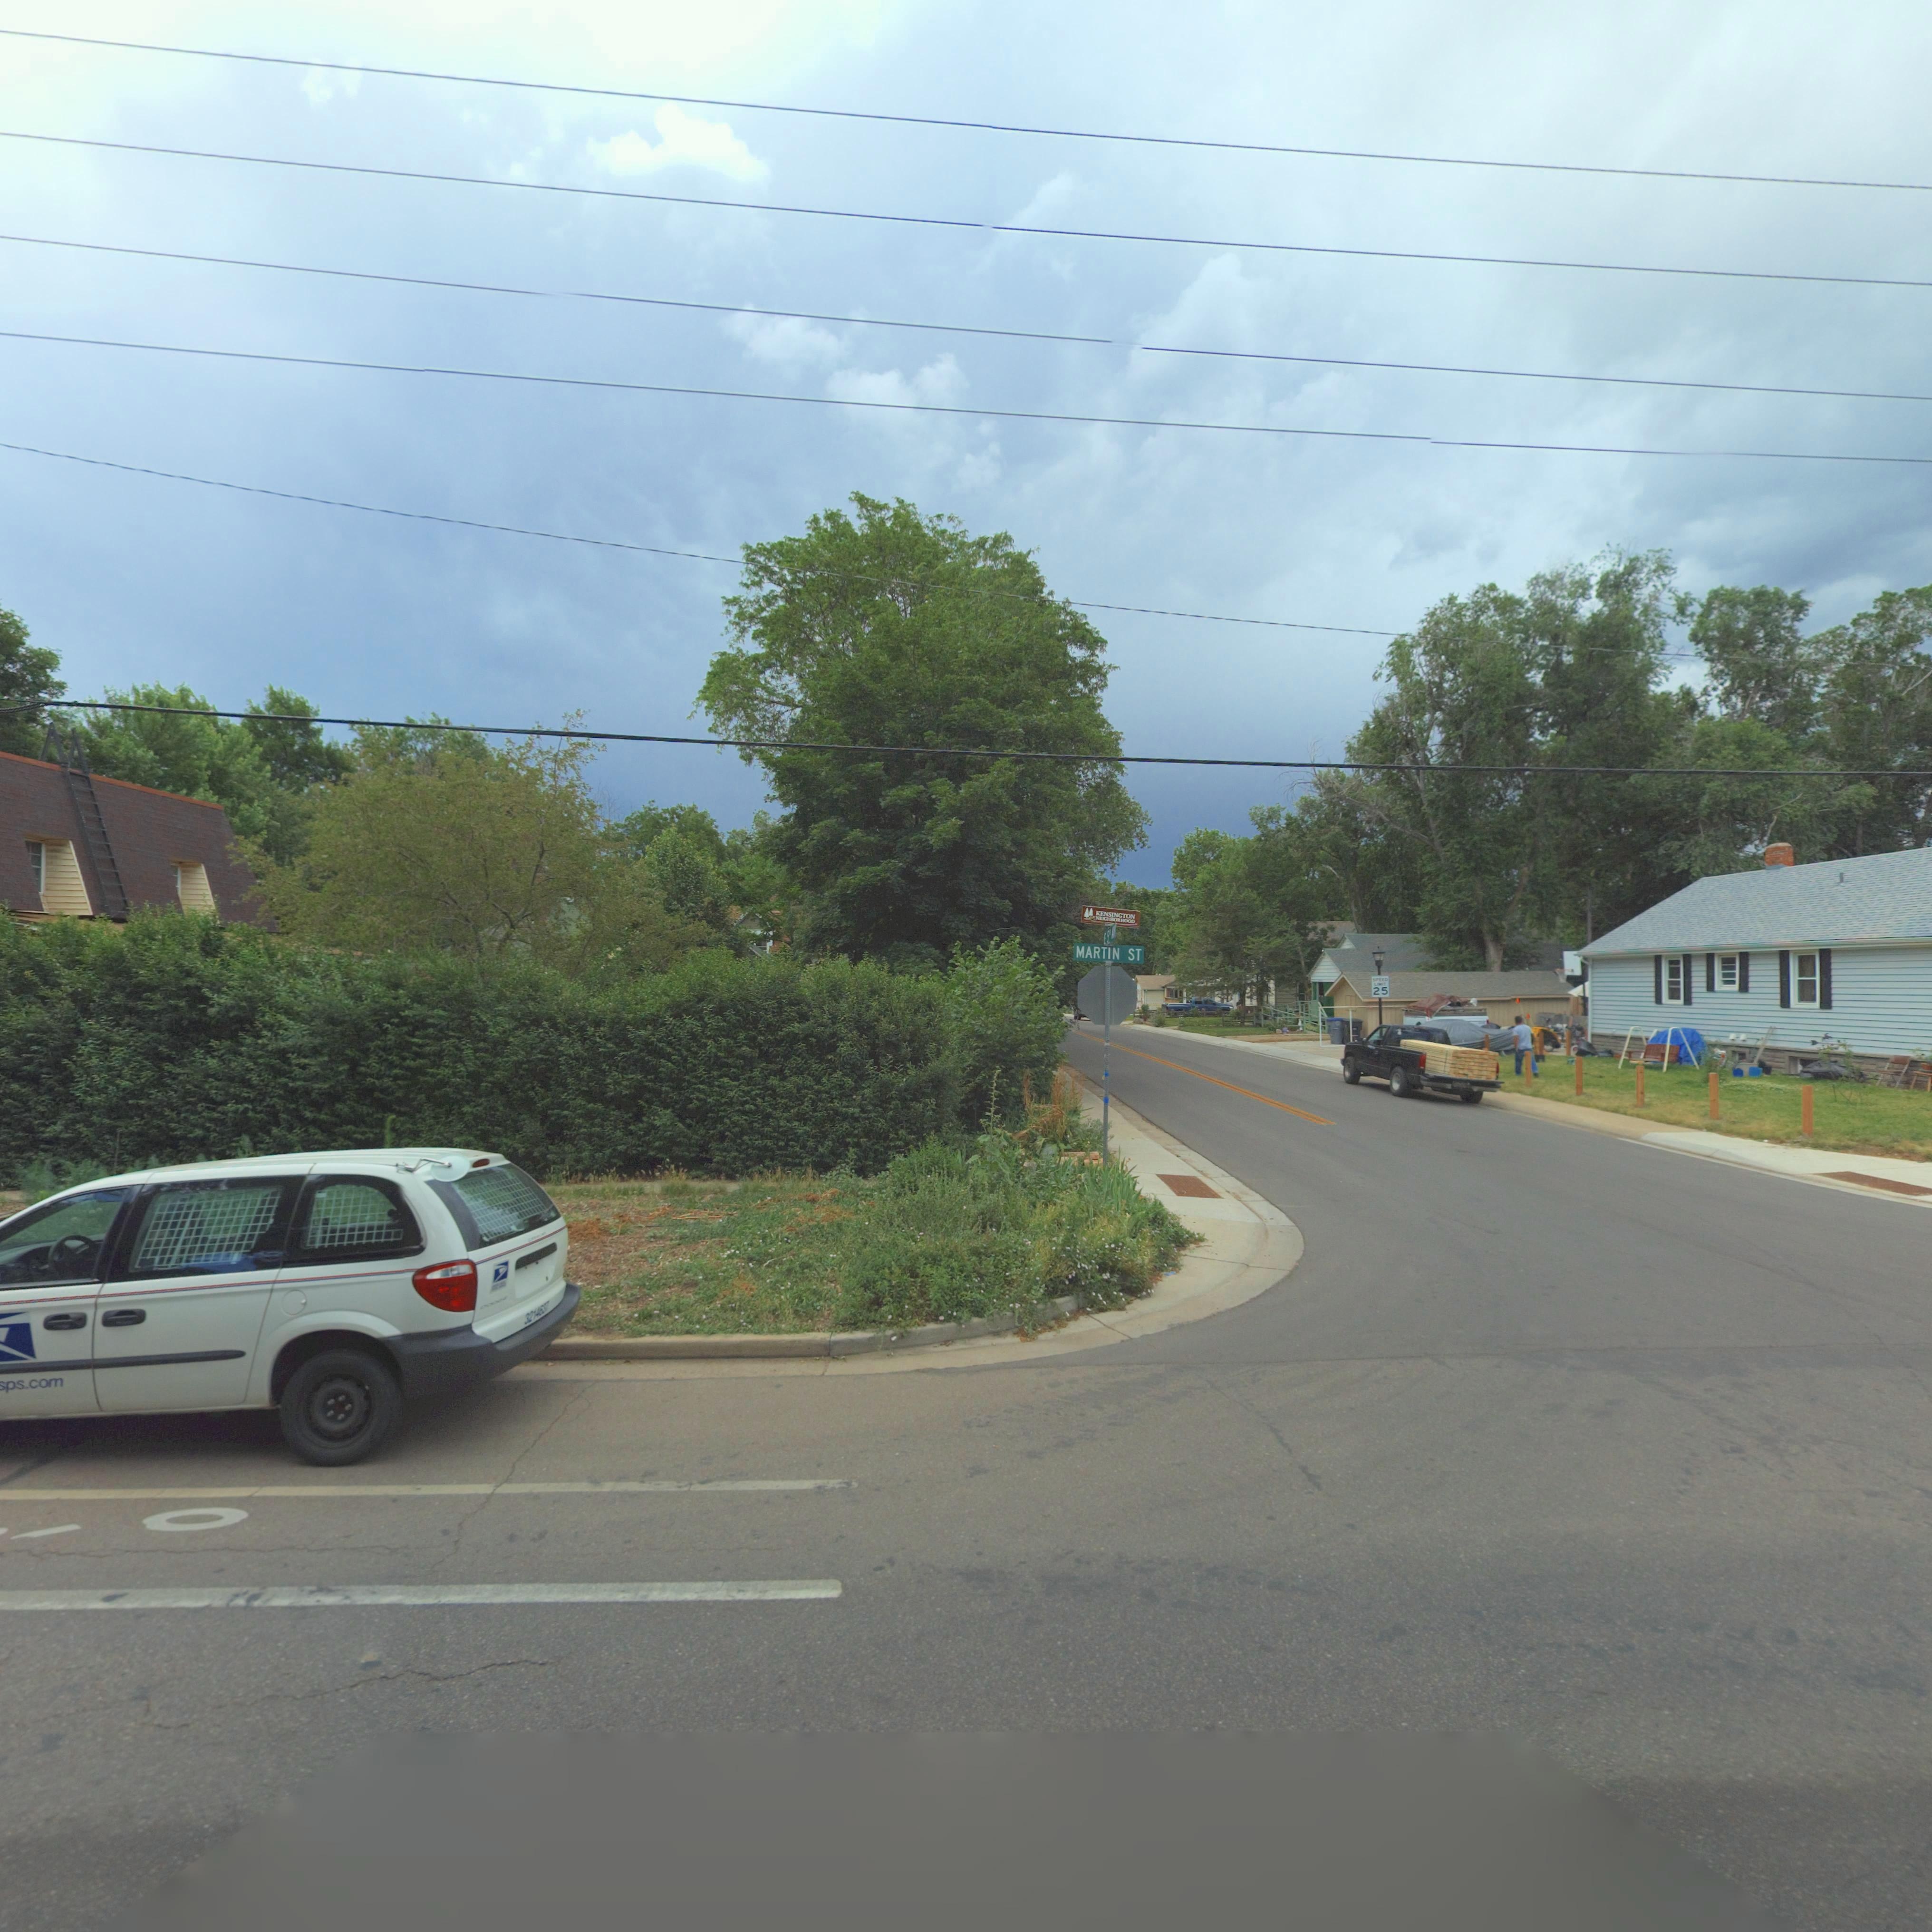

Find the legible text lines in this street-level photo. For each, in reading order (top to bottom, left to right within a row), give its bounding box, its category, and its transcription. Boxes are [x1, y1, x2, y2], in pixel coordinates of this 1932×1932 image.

[1103, 924, 1116, 944] StreetName: E 5TH A*
[1076, 945, 1142, 961] StreetName: MARTIN ST